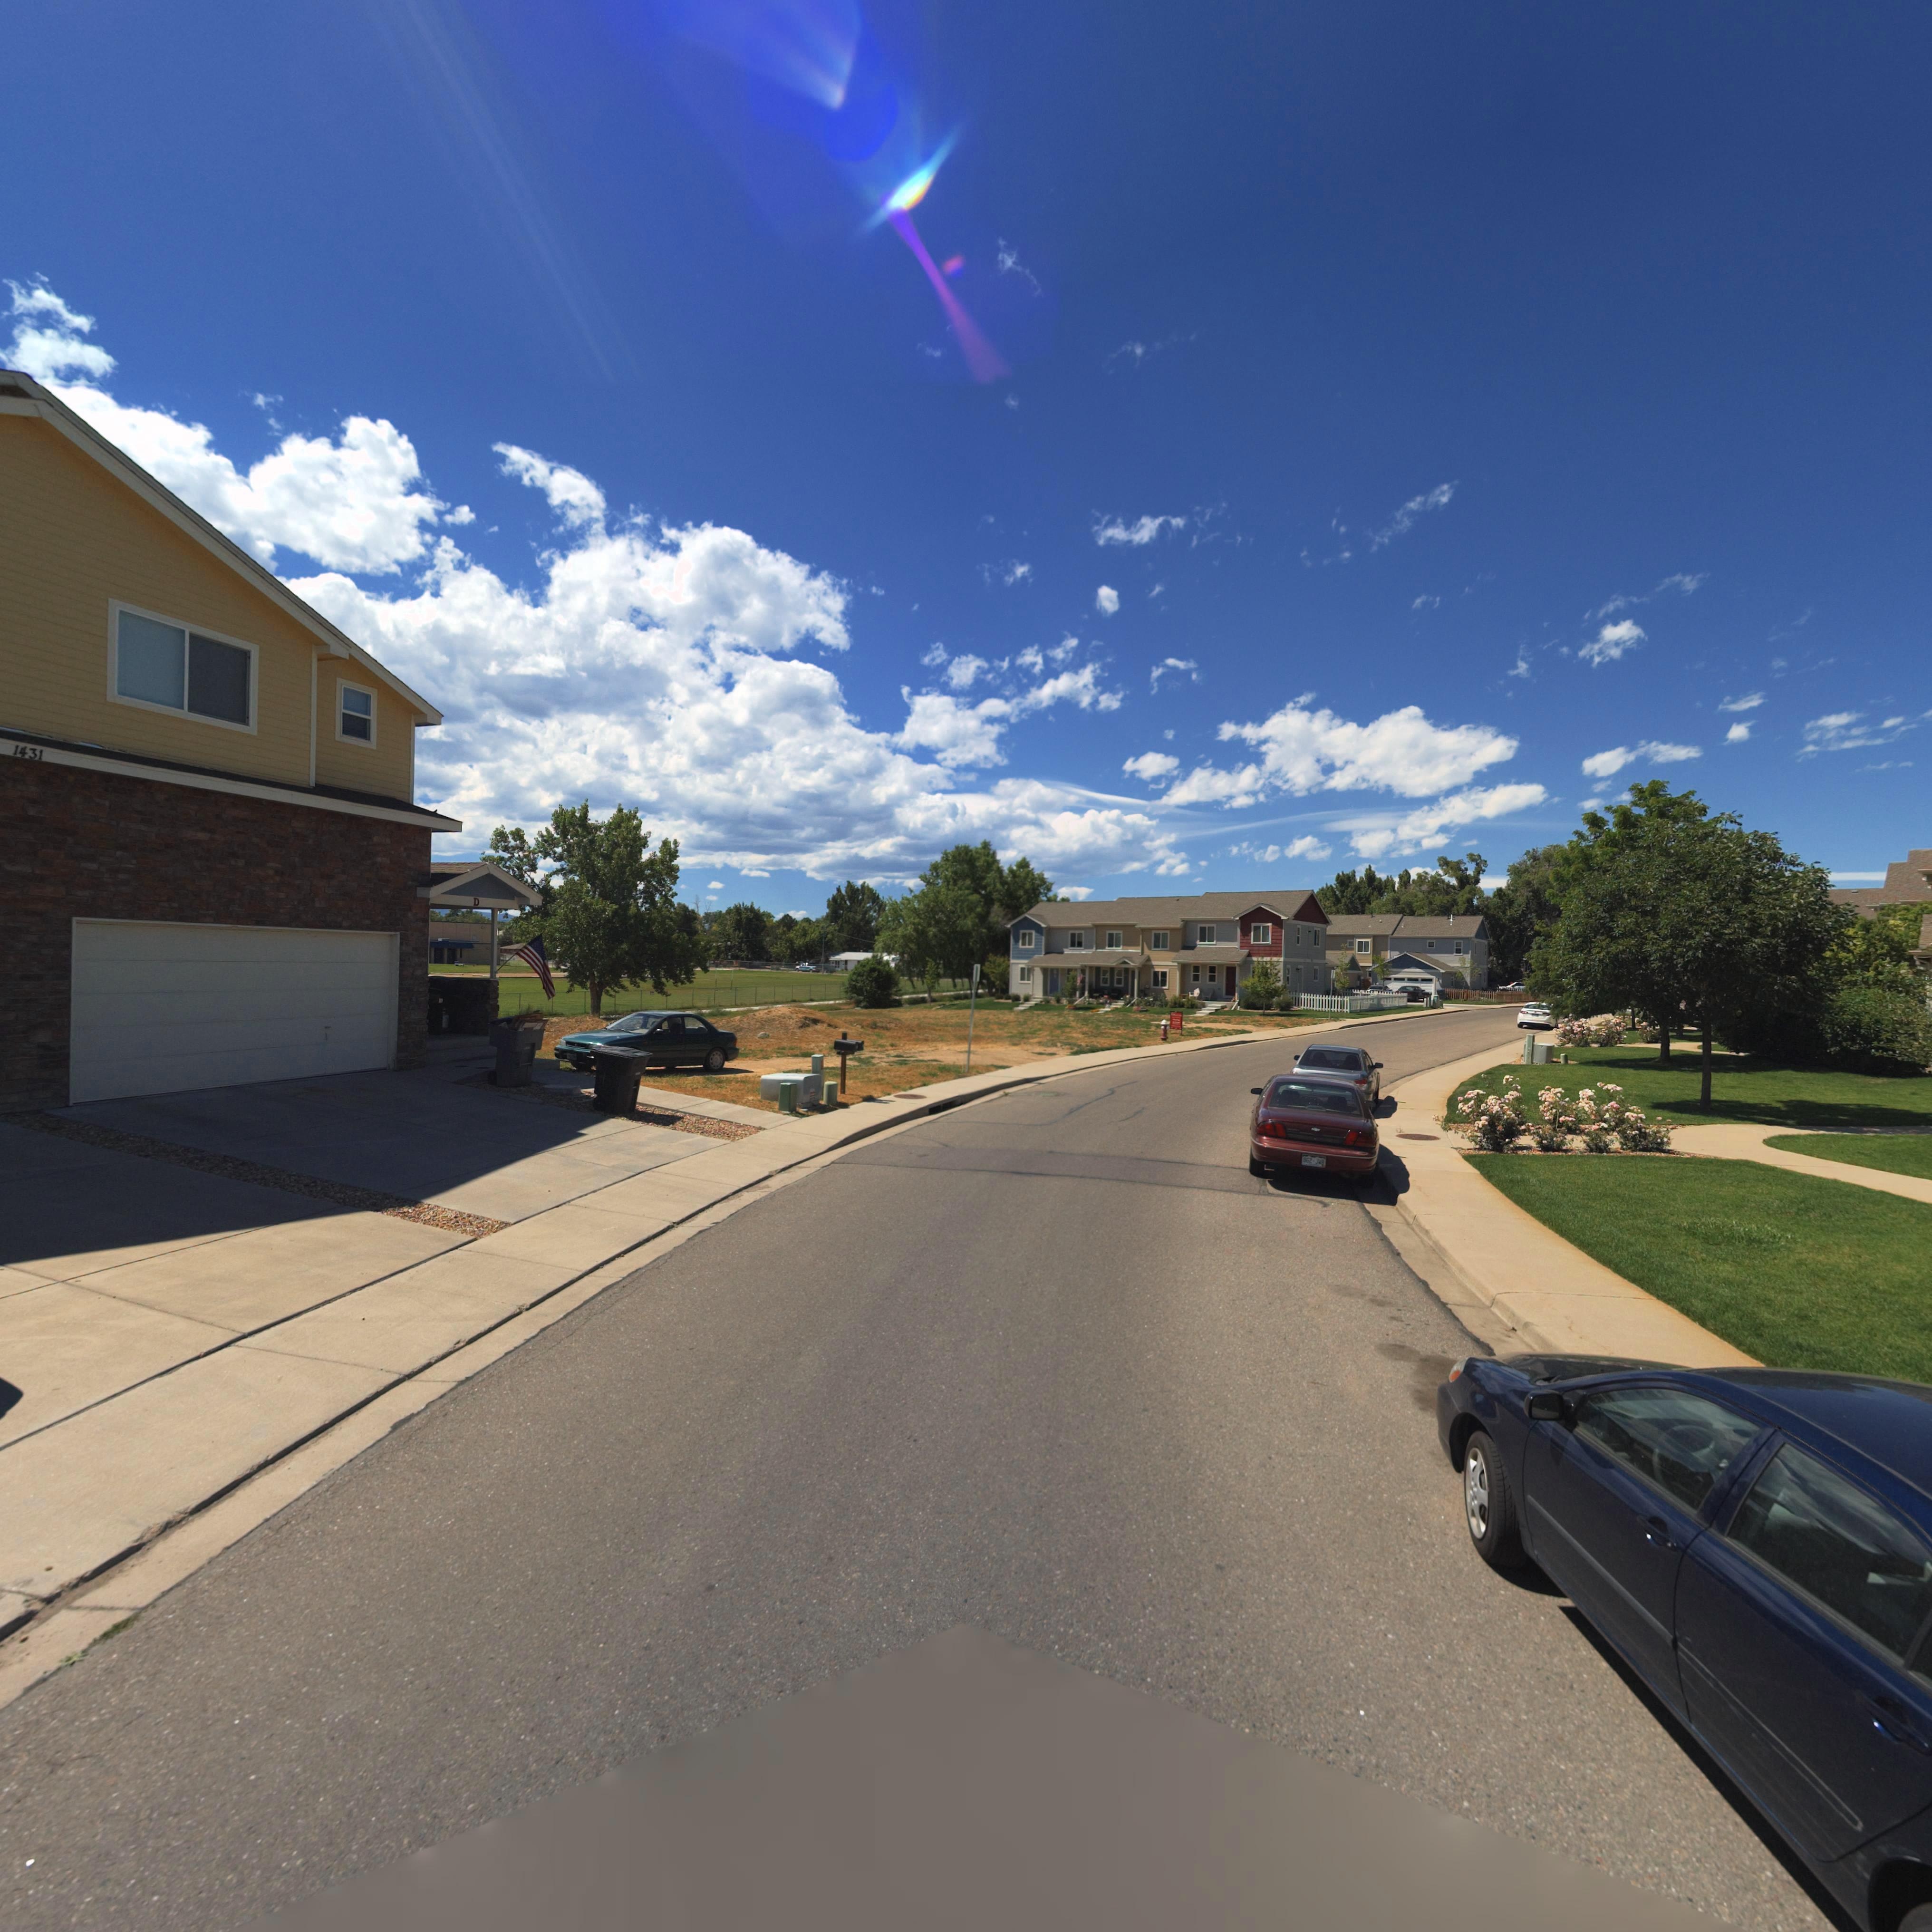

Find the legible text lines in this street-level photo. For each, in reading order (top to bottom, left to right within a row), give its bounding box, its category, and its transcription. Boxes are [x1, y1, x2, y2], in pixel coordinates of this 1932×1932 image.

[12, 743, 43, 761] StreetNumber: 1431
[473, 897, 479, 907] SecondaryUnitDesignator: D